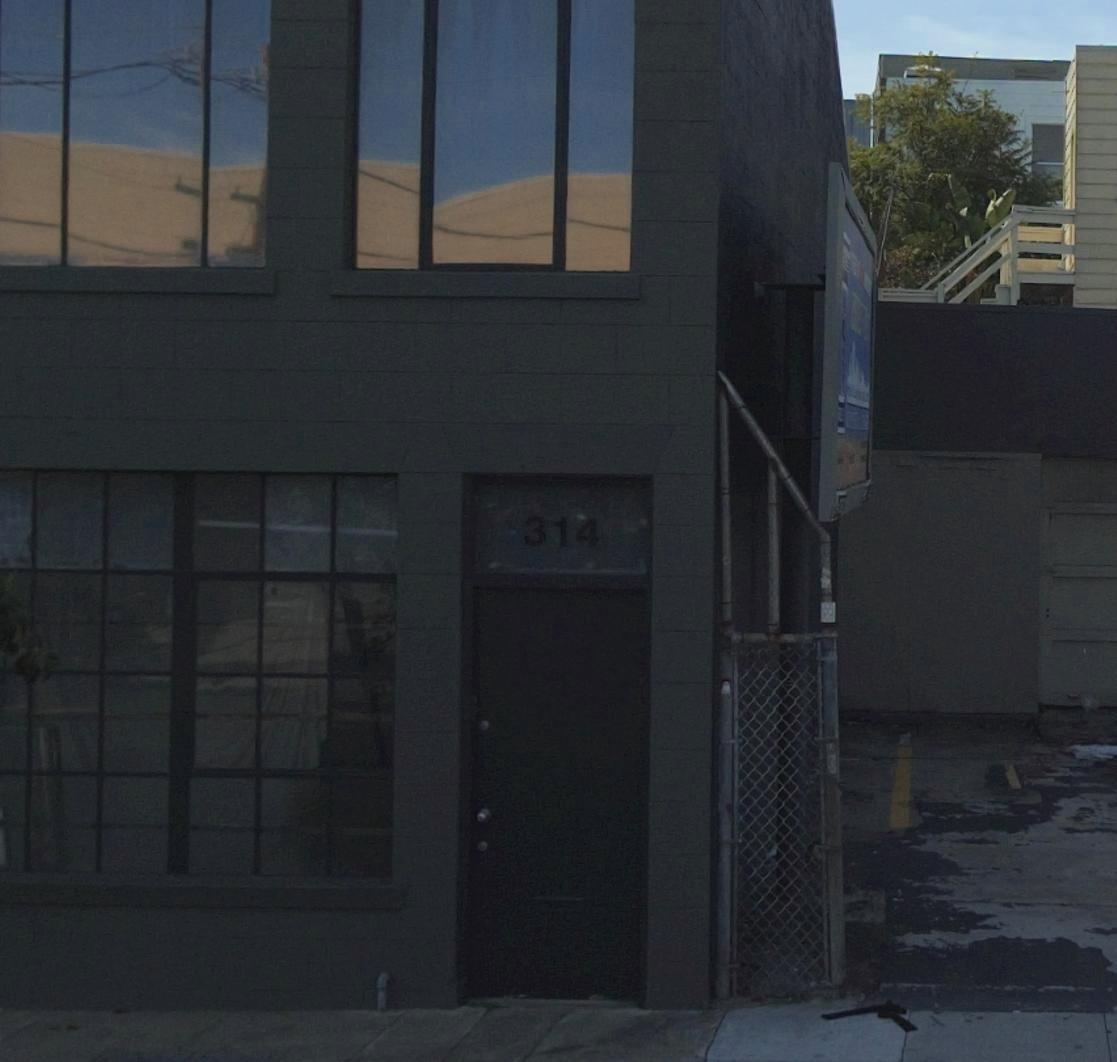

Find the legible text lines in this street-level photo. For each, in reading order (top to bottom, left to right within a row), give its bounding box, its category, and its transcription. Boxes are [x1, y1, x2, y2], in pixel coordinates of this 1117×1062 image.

[521, 512, 604, 552] StreetNumber: 314